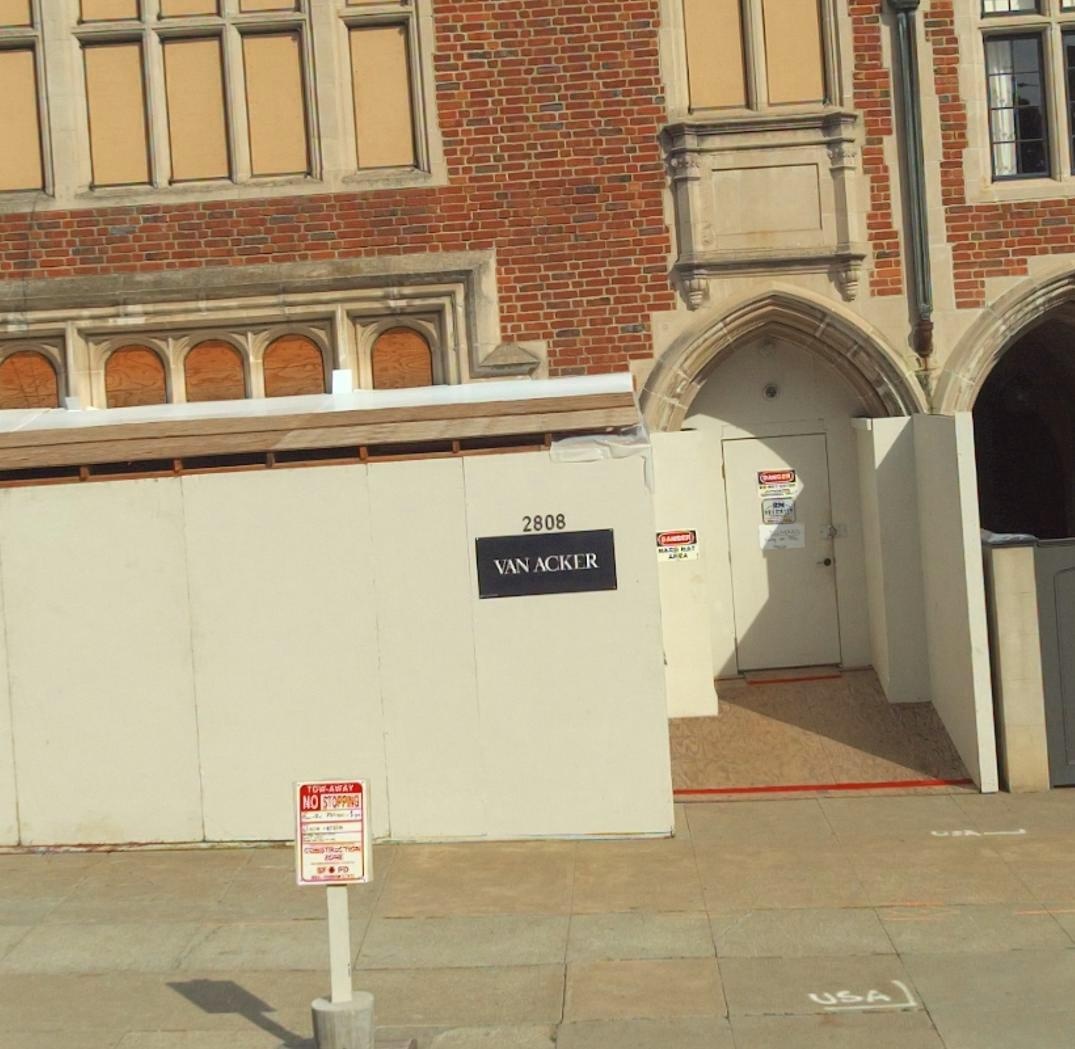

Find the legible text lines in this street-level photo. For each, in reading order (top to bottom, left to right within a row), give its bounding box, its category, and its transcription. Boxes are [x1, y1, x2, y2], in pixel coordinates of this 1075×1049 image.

[519, 510, 568, 535] StreetNumber: 2808
[489, 549, 604, 578] None: VAN ACKER
[303, 782, 358, 796] None: TOW-AWAY
[300, 792, 363, 811] None: NO STOPPING
[923, 826, 989, 841] None: USA
[798, 985, 903, 1009] None: USA